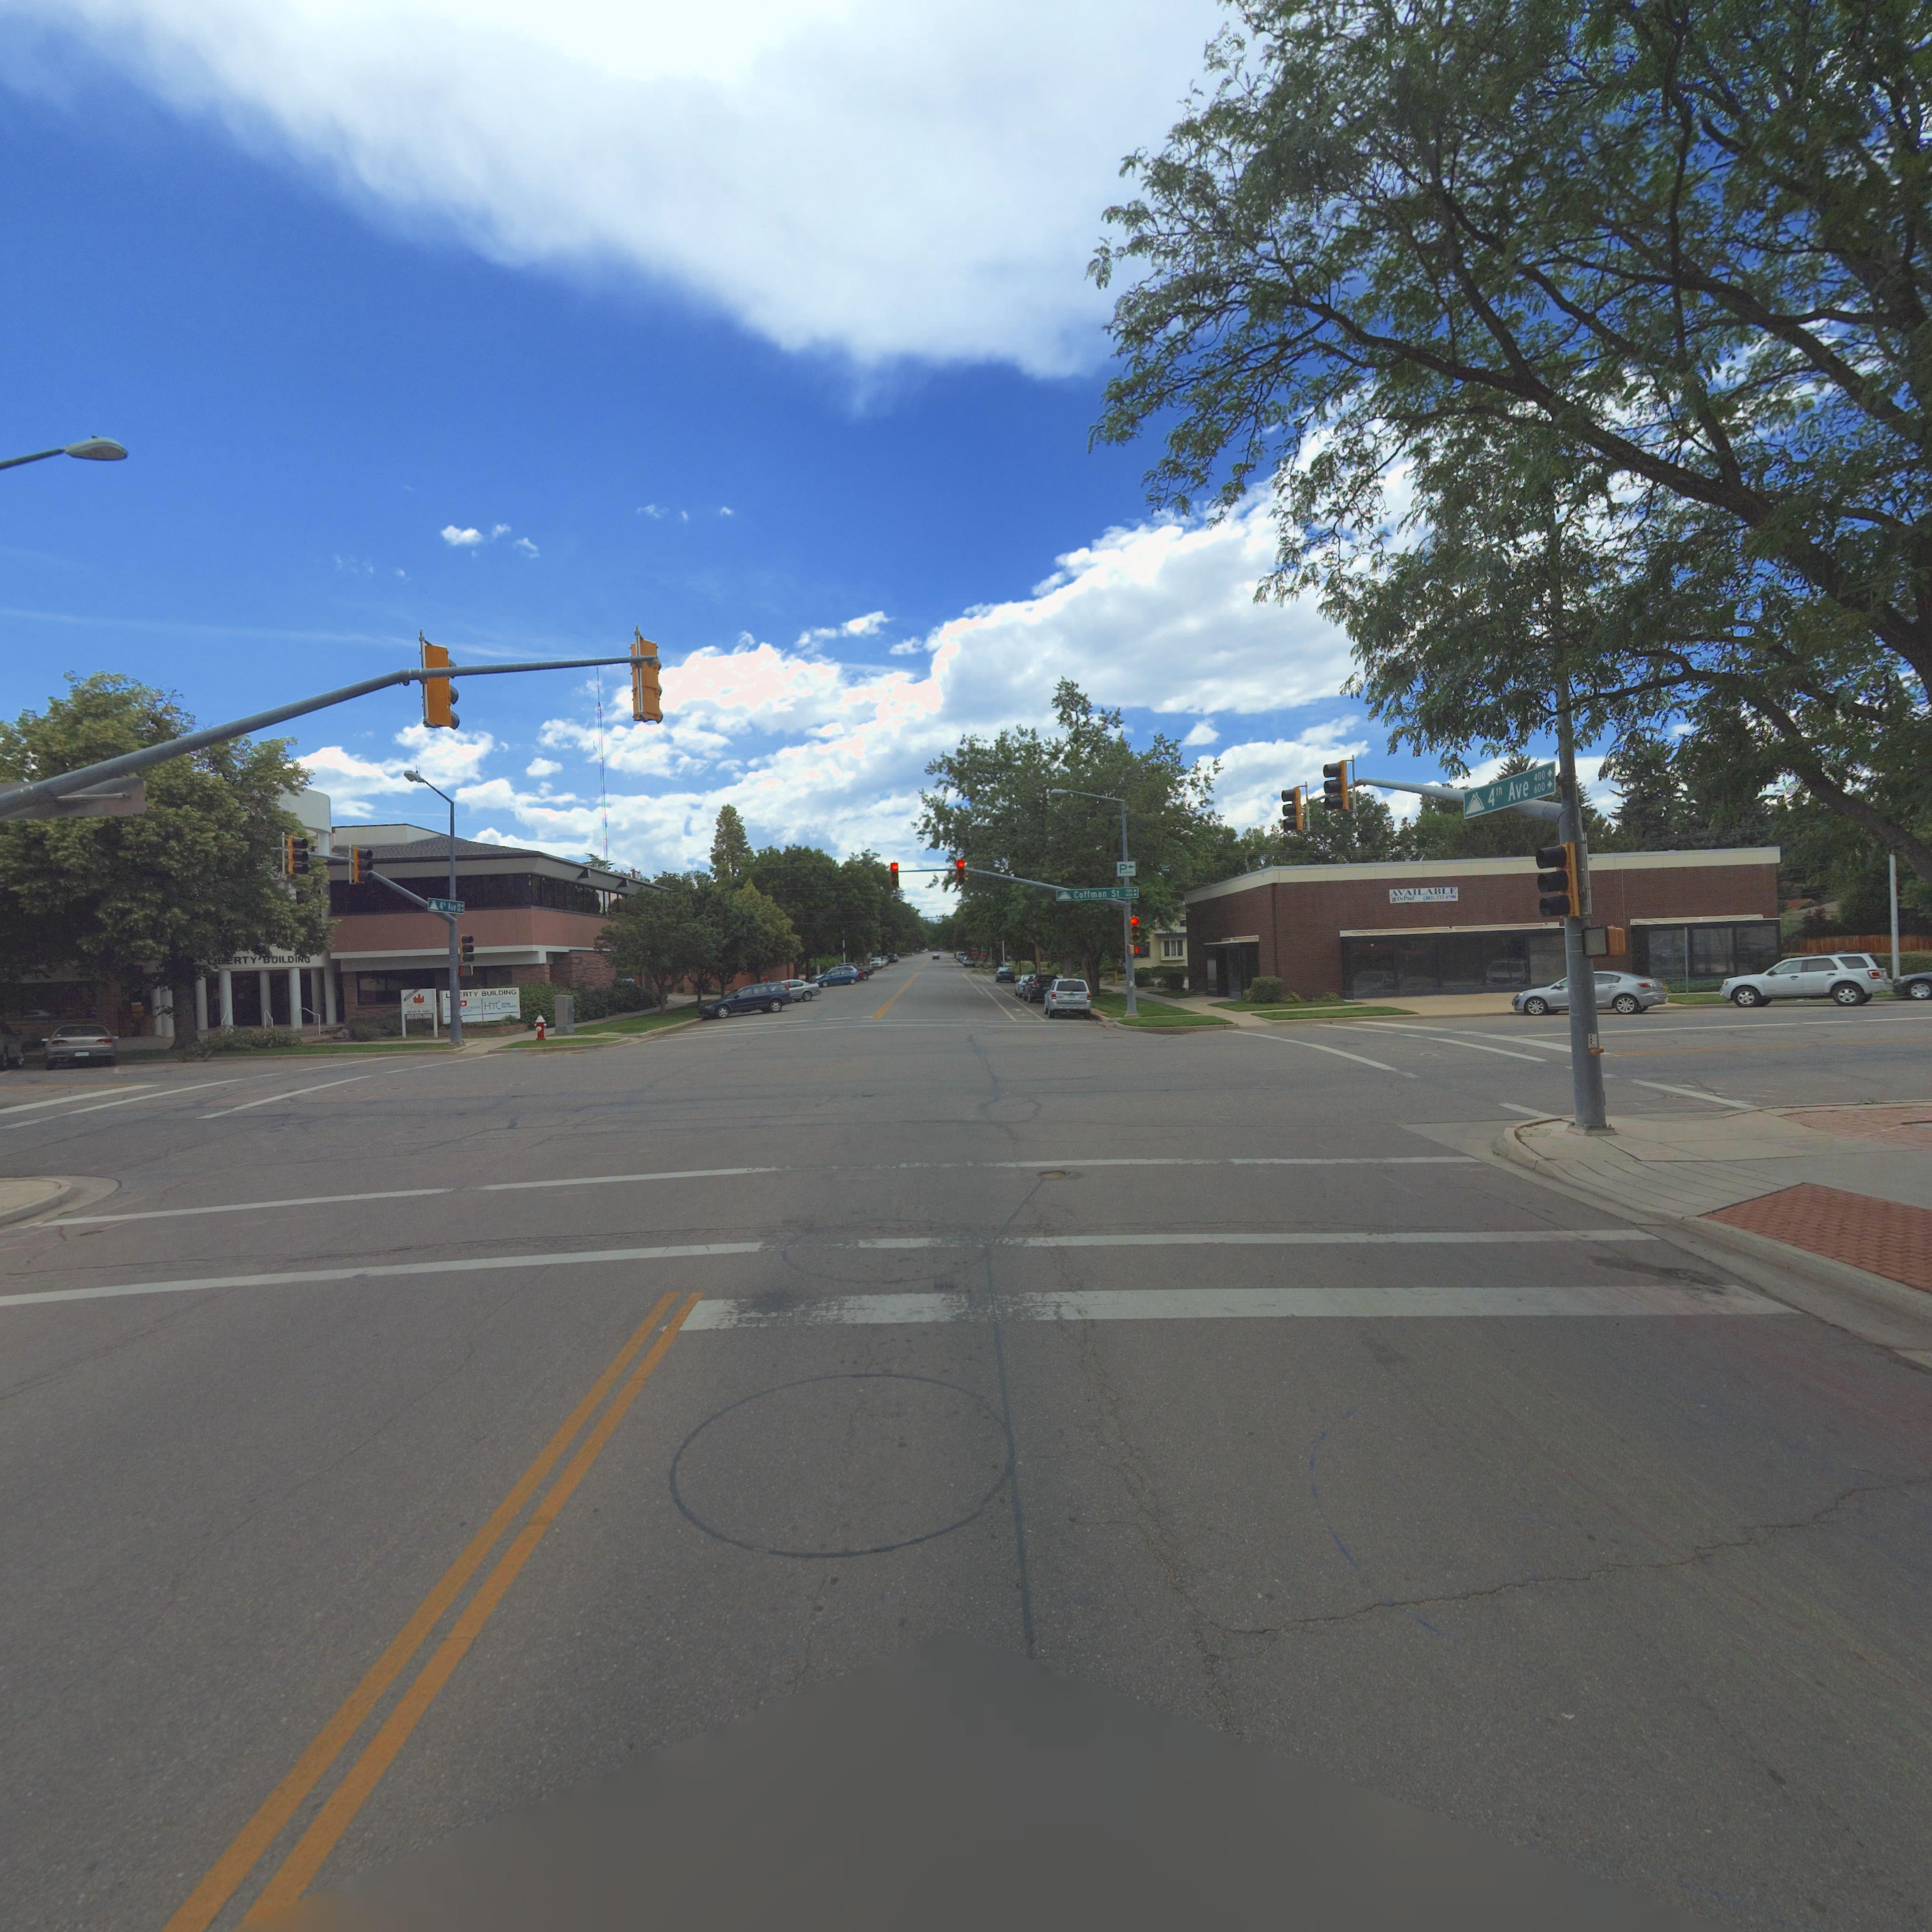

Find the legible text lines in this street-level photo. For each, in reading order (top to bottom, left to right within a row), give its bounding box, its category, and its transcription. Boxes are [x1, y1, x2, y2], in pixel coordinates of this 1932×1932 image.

[1534, 770, 1546, 781] StreetNumber: 400
[1534, 780, 1553, 793] StreetNumberRange: 600->
[1487, 781, 1529, 807] StreetName: 4th Ave
[1073, 889, 1120, 898] StreetName: Coffman St
[1125, 889, 1132, 892] StreetNumber: *00
[1125, 893, 1133, 896] StreetNumber: 400
[439, 901, 456, 911] StreetName: 4*h Ave
[445, 1005, 481, 1011] BusinessName: *******AR BANK
[484, 1000, 501, 1010] BusinessName: HTC